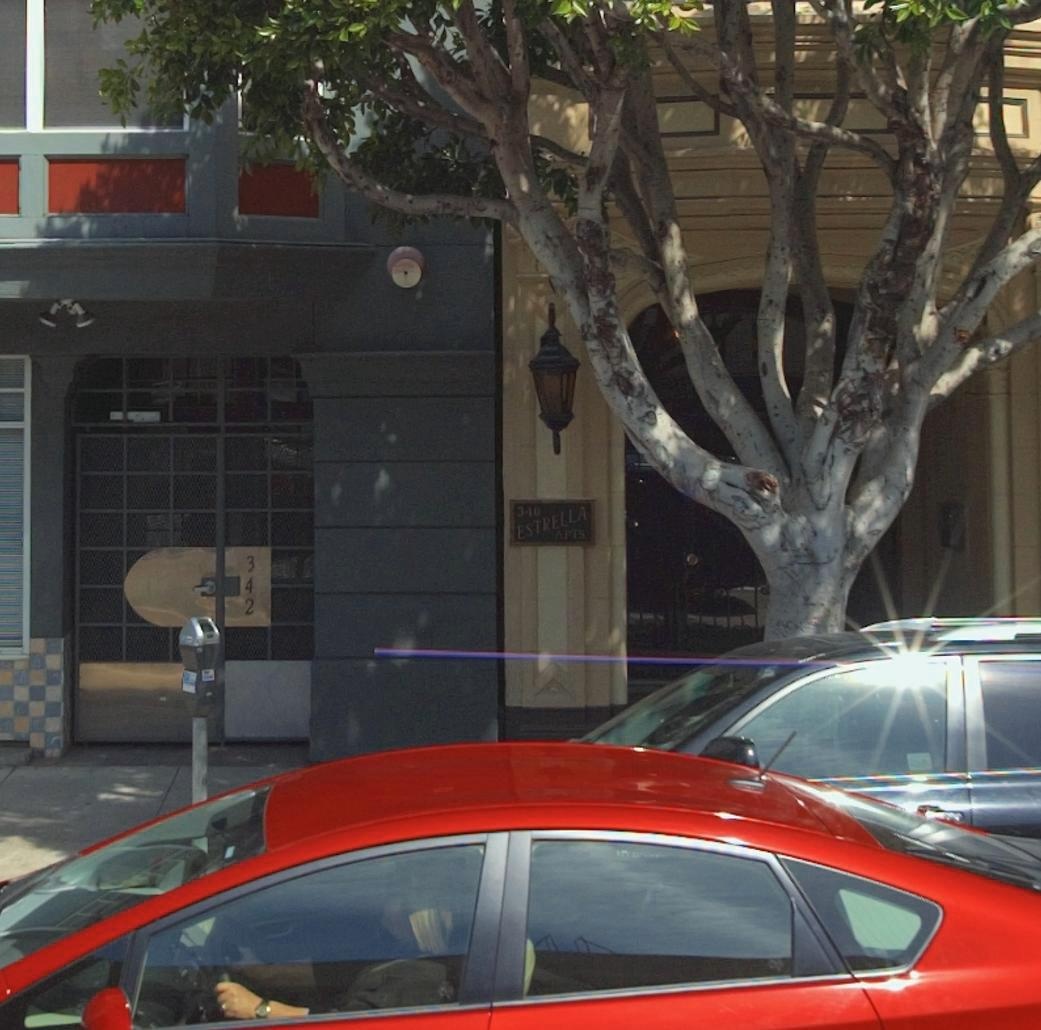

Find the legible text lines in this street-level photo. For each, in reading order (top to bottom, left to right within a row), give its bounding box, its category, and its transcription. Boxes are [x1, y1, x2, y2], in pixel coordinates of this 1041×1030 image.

[516, 505, 541, 518] StreetNumber: 340
[516, 502, 589, 542] None: ESTRELLA
[554, 528, 586, 540] None: APTS
[243, 554, 257, 615] StreetNumber: 342